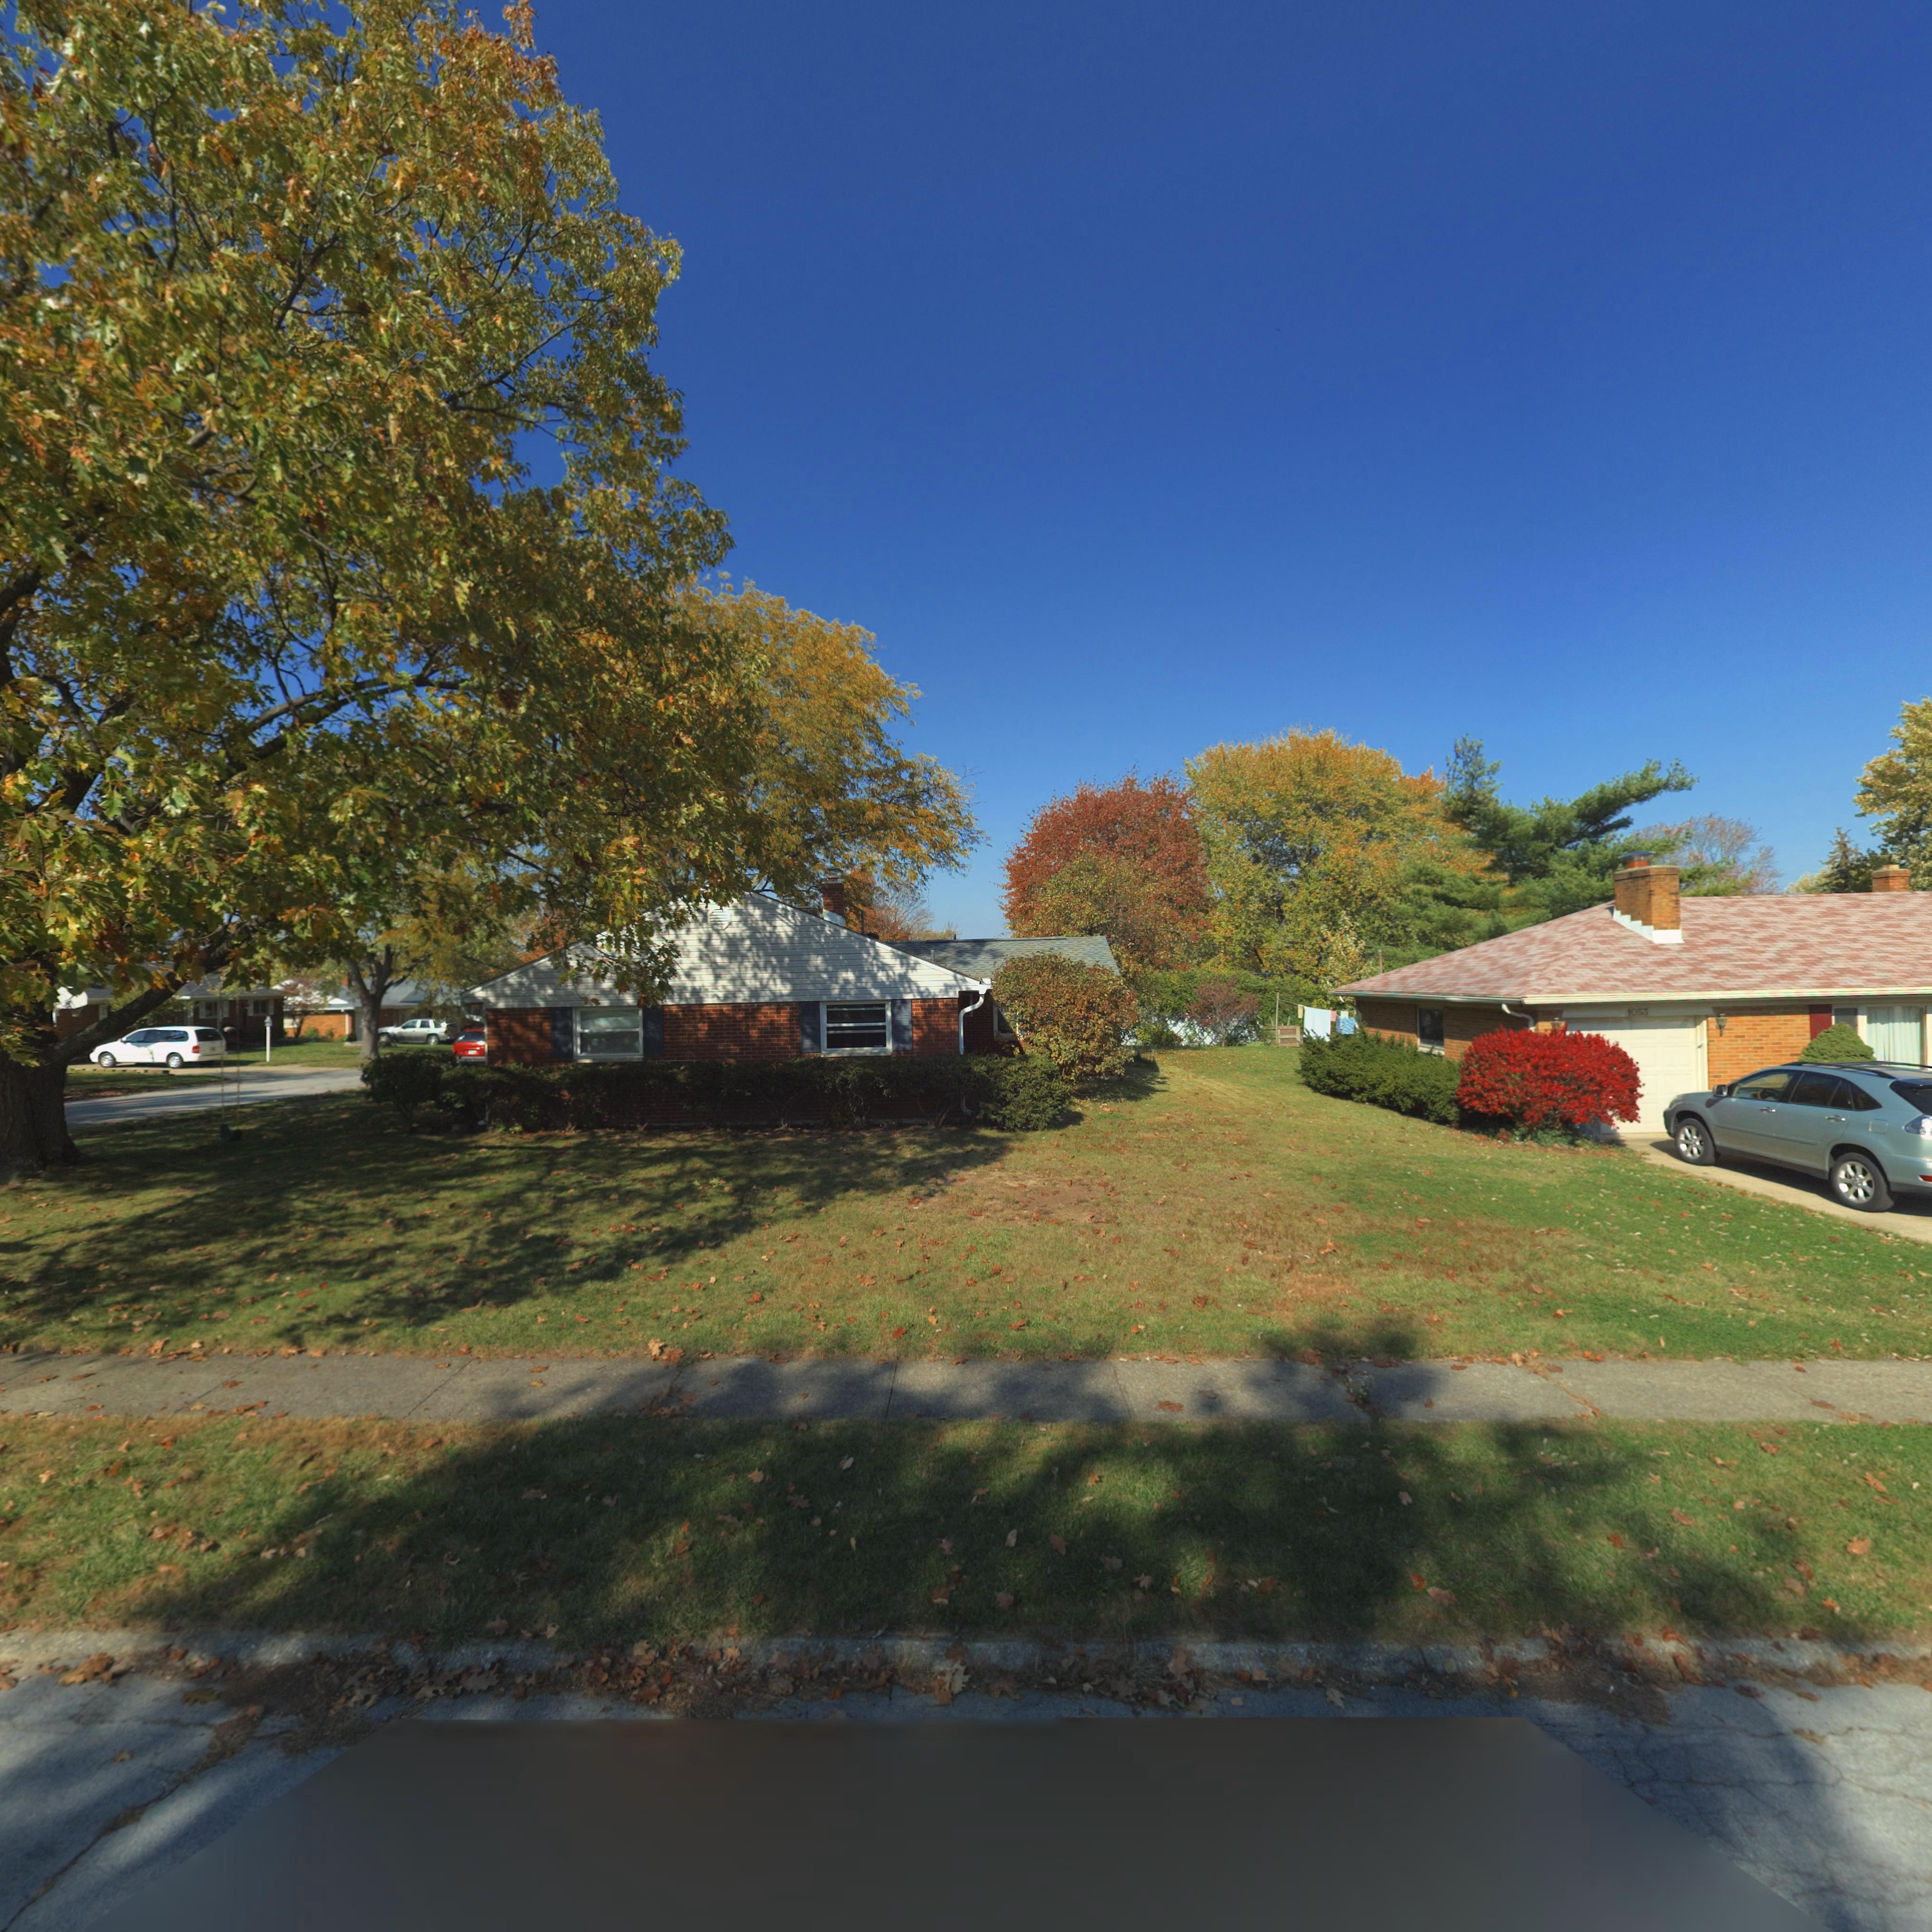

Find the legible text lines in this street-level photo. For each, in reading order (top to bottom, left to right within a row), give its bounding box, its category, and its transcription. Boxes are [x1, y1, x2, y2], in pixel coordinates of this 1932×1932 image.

[1627, 1007, 1649, 1017] StreetNumber: 1053